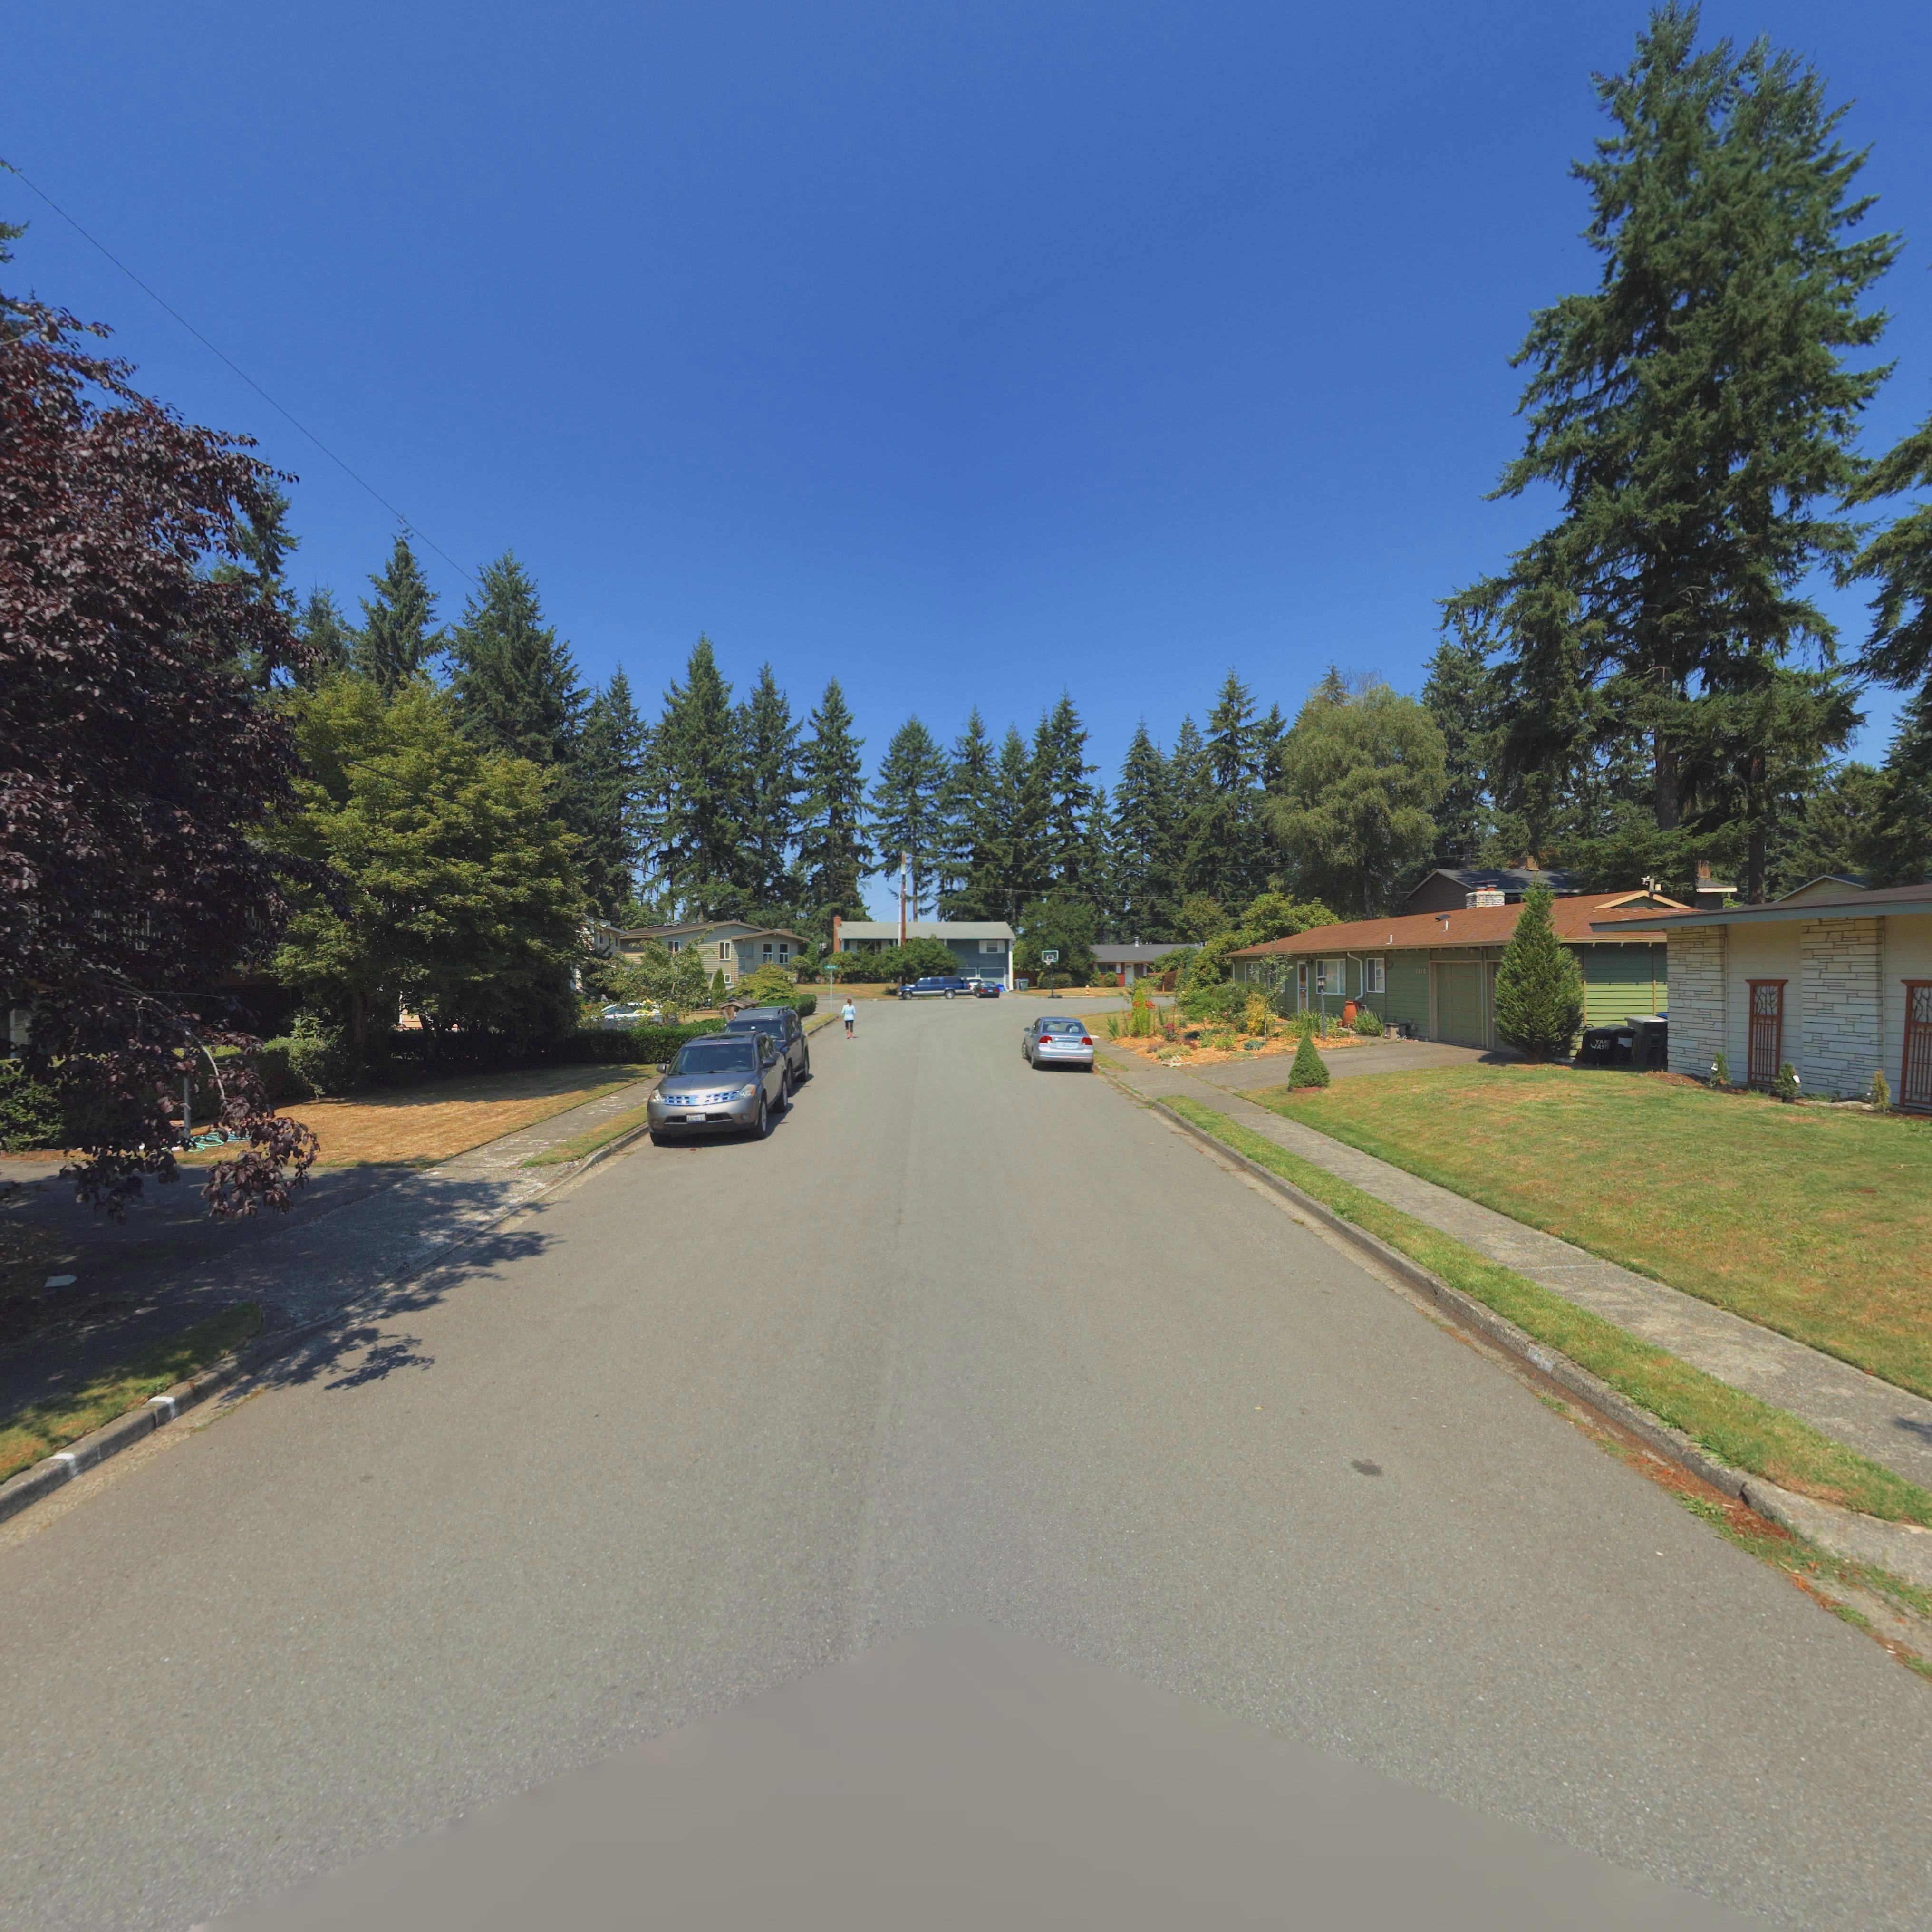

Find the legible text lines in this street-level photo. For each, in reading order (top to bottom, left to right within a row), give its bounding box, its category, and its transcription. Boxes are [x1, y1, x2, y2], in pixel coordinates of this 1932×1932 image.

[1420, 967, 1426, 974] StreetNumber: 10